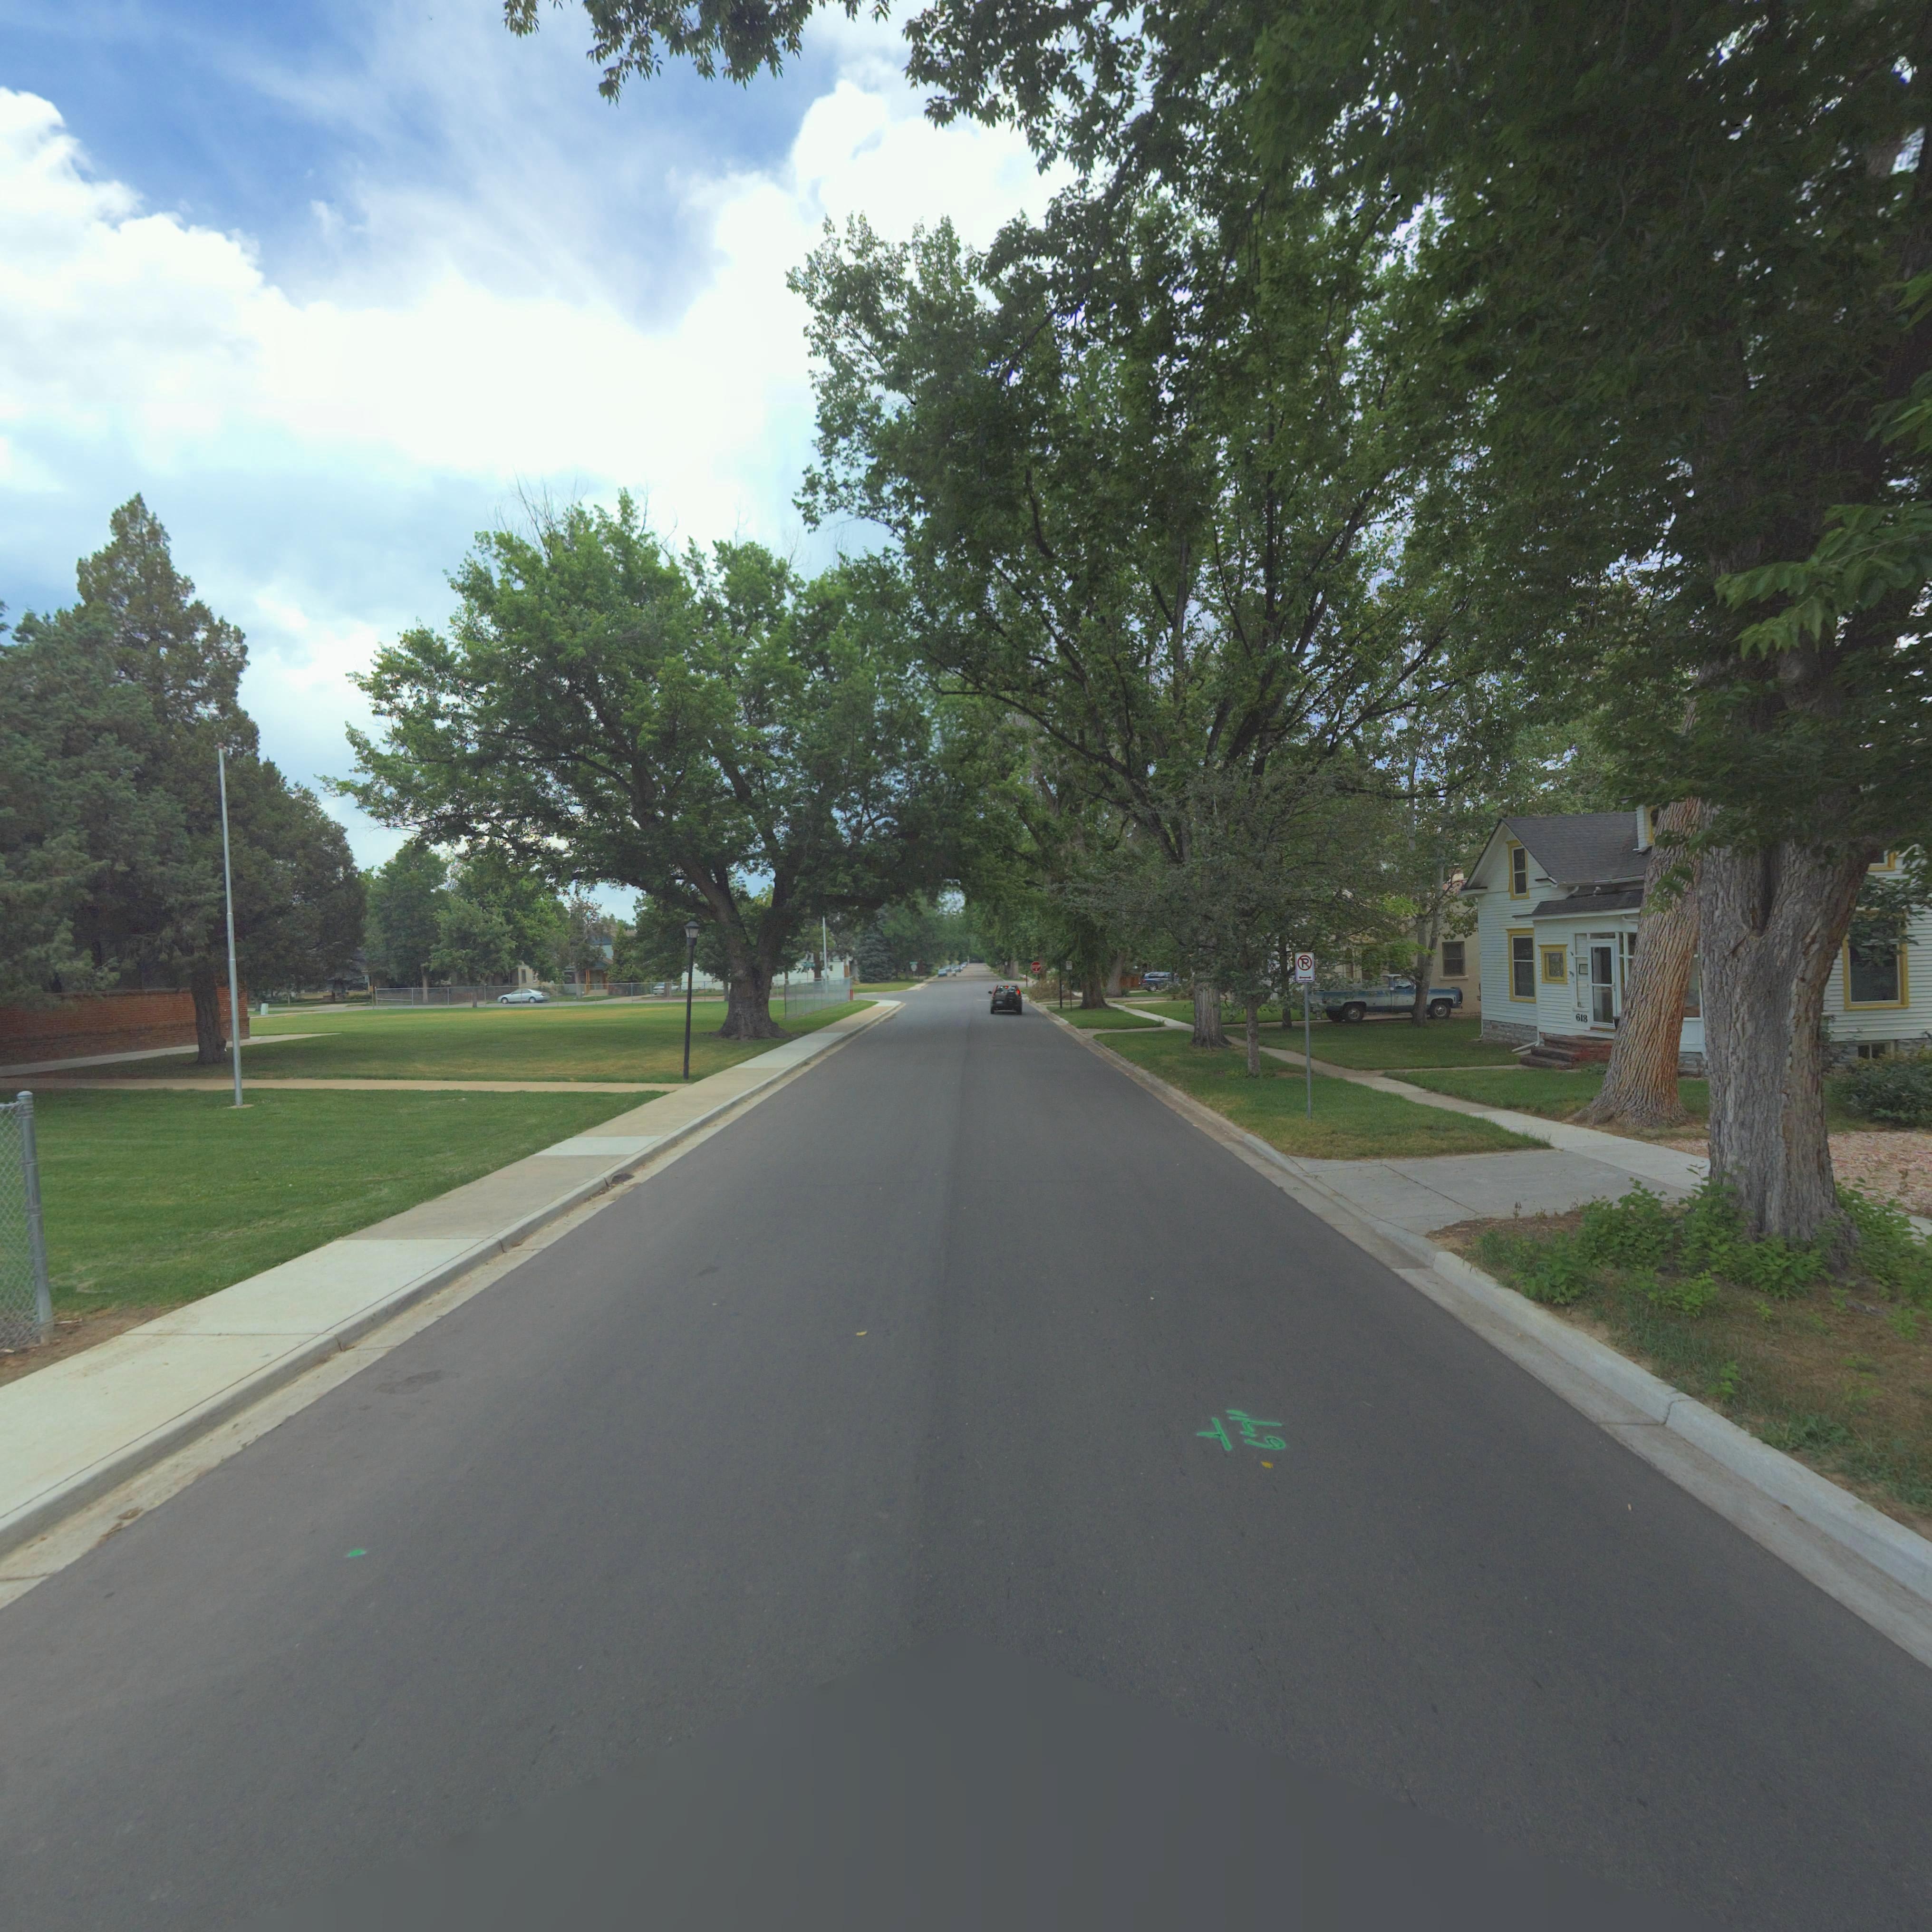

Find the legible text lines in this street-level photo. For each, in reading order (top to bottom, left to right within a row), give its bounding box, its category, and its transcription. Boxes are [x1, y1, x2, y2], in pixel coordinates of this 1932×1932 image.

[1575, 1013, 1588, 1023] StreetNumber: 618